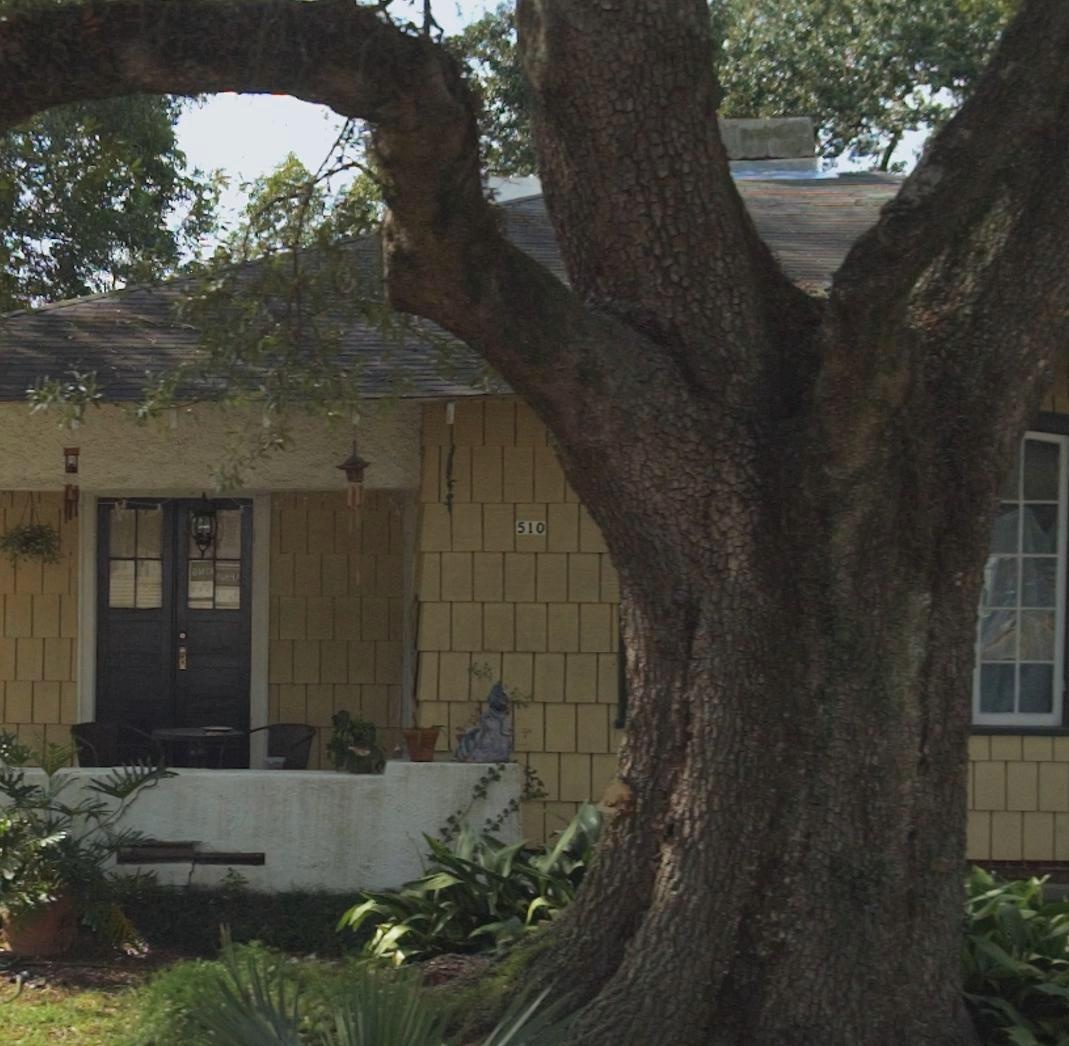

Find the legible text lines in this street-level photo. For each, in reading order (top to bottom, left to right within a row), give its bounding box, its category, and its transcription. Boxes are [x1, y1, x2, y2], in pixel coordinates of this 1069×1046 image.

[515, 519, 546, 536] StreetNumber: 510